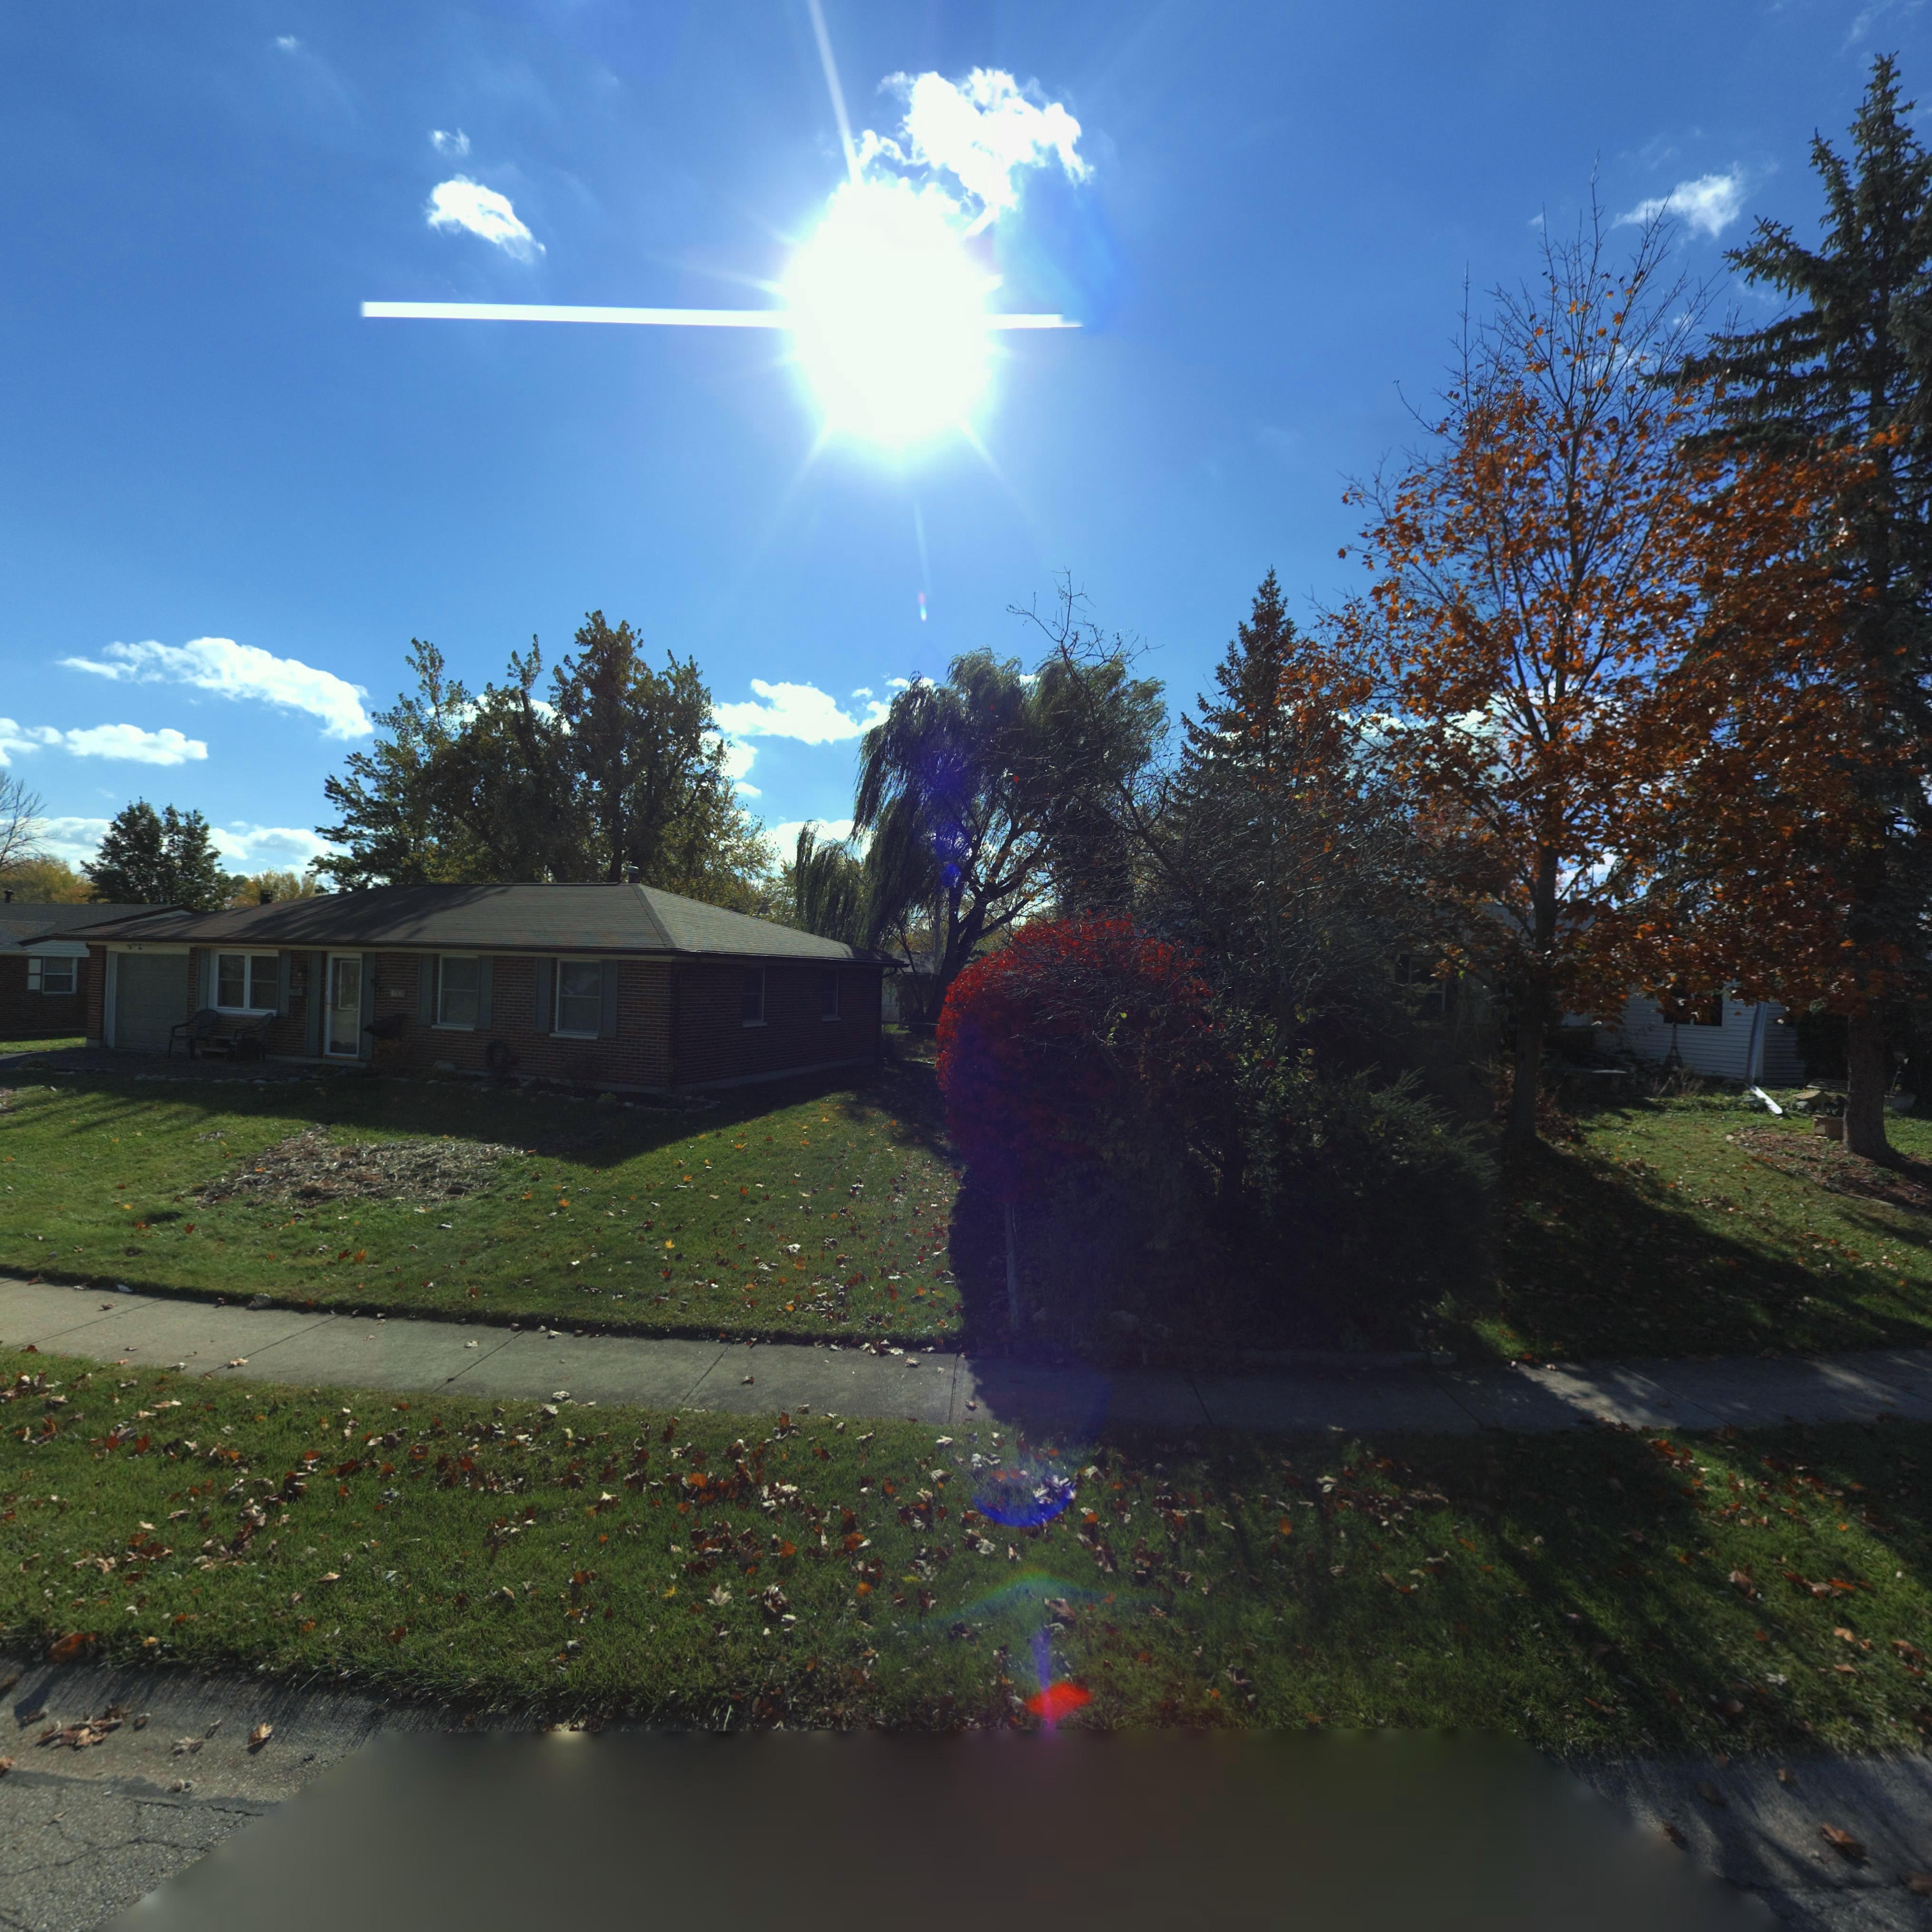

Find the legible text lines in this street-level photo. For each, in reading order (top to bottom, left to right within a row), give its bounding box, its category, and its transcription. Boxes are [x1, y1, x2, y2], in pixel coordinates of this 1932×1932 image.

[390, 990, 405, 998] StreetNumber: 6670